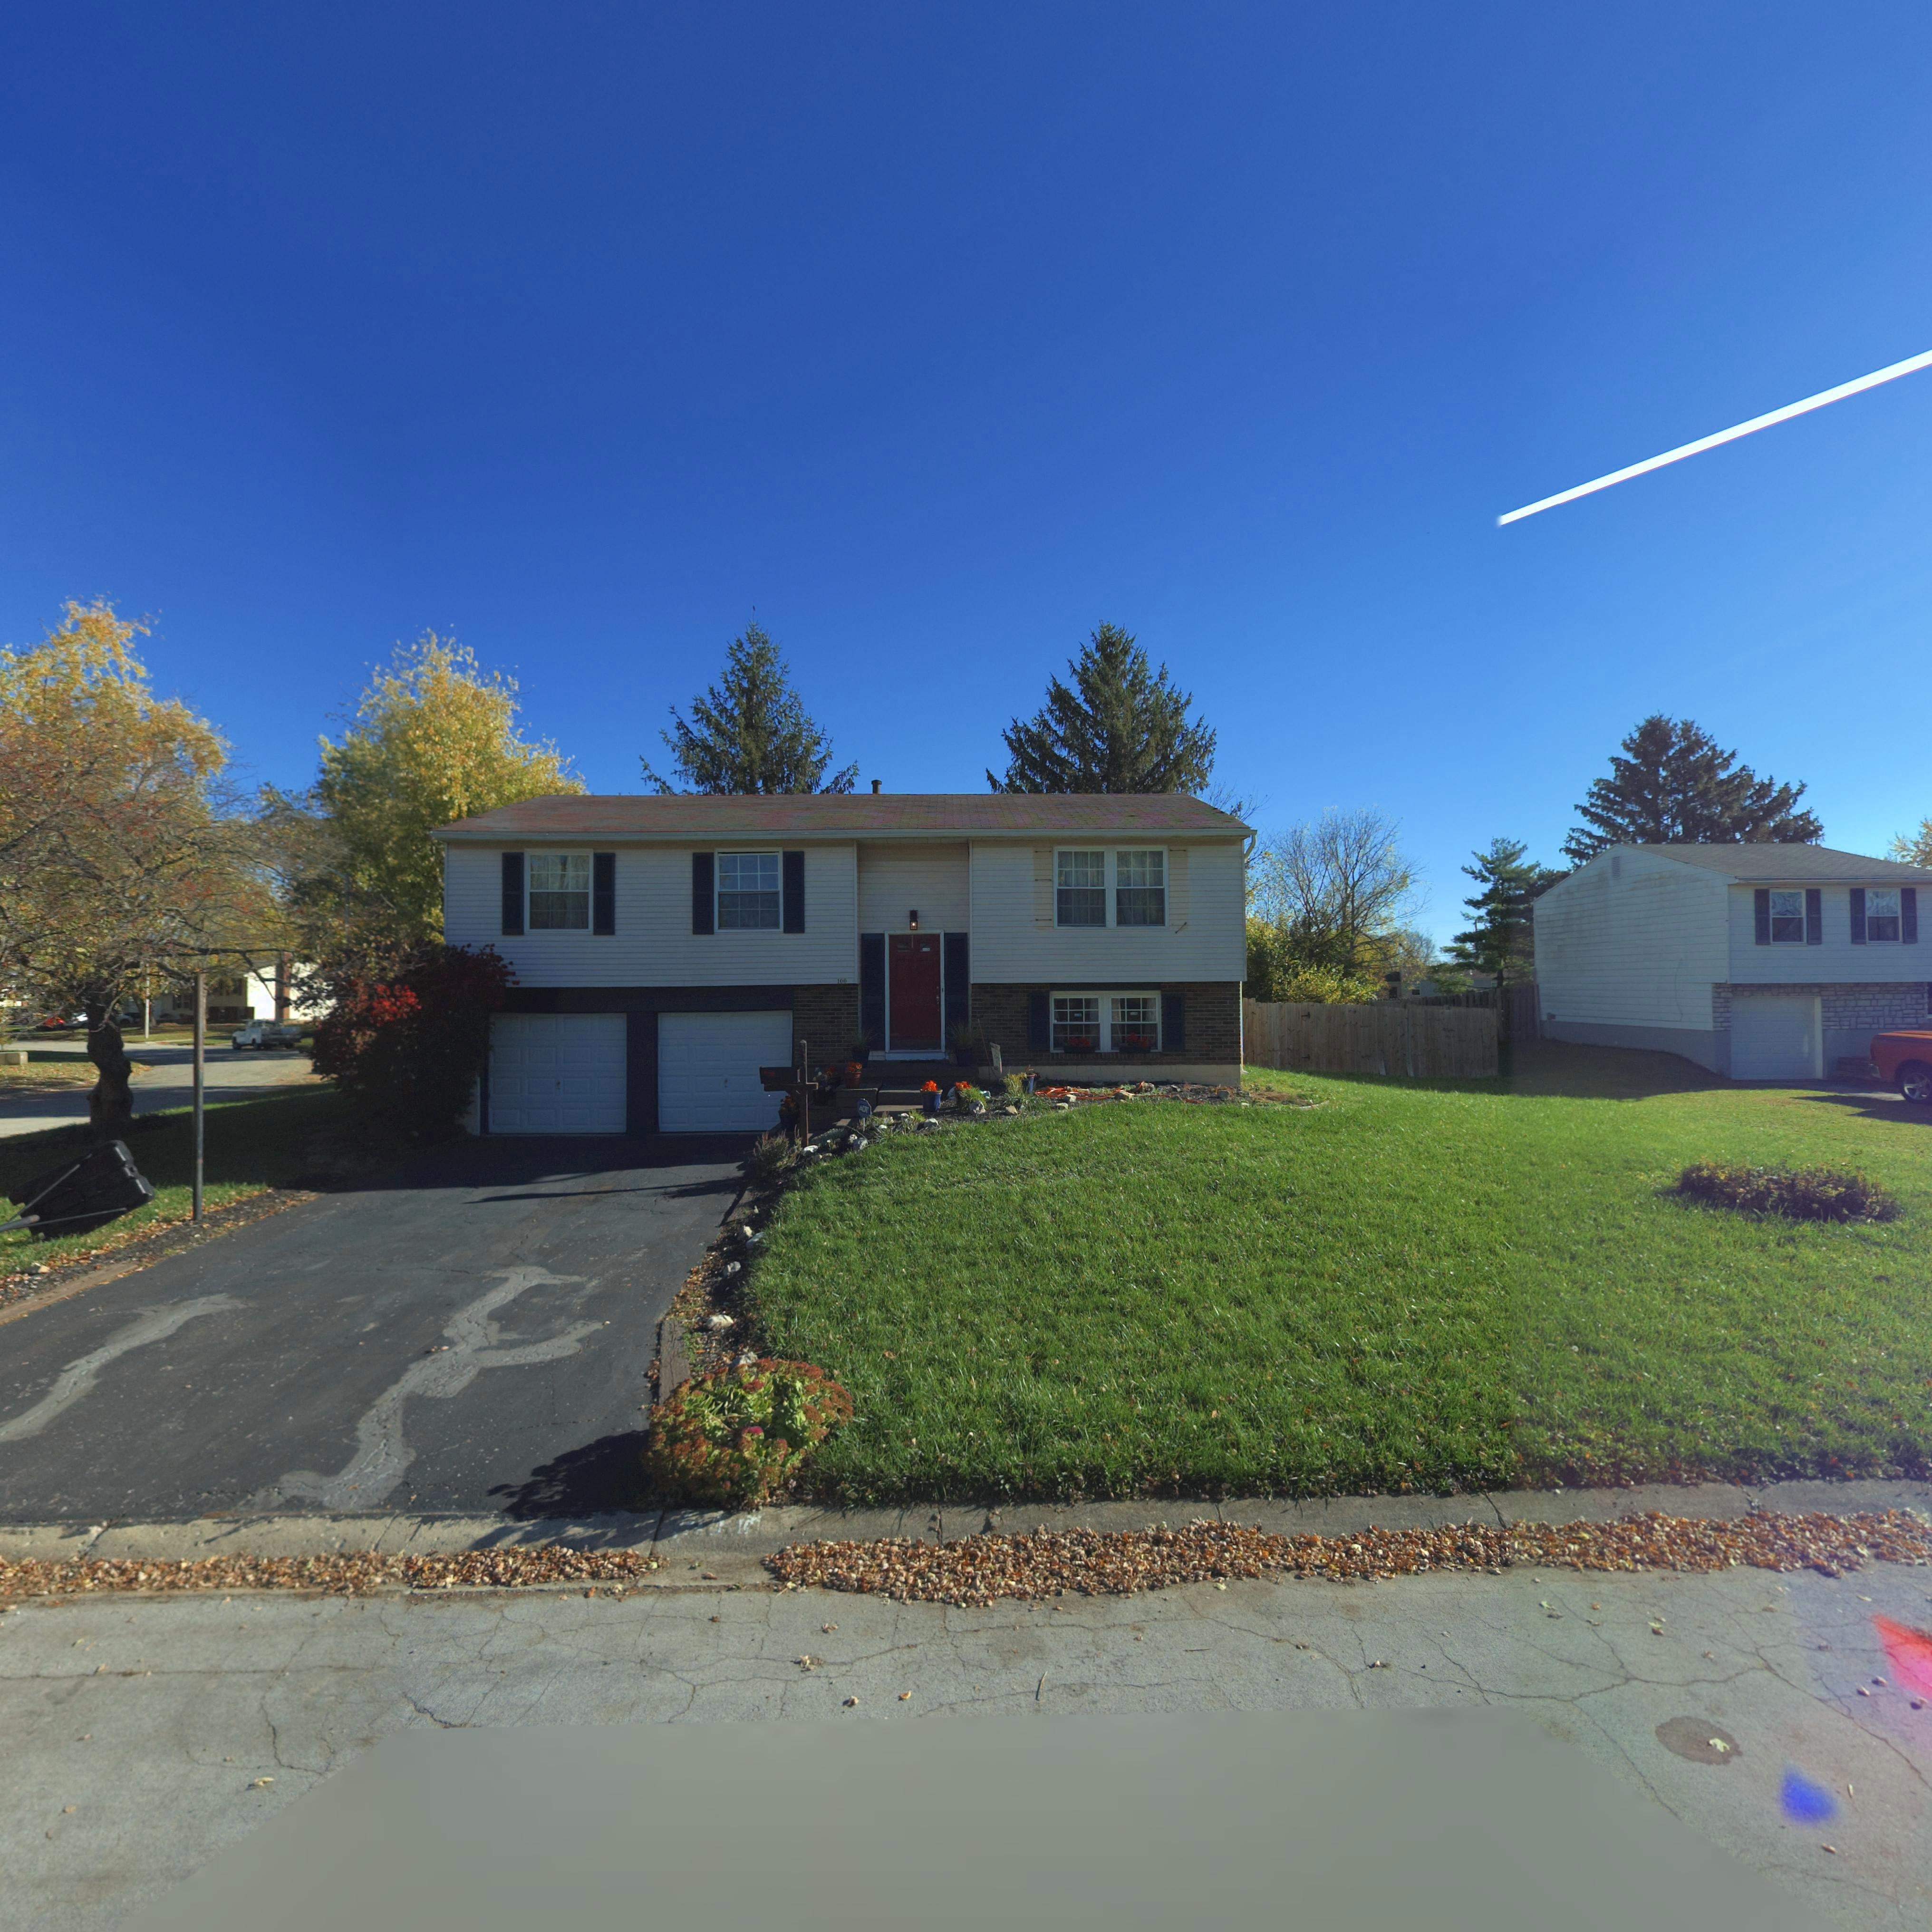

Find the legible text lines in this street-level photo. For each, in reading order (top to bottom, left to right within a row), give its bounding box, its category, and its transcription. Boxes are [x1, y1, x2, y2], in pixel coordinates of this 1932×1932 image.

[837, 978, 847, 985] StreetNumber: 100
[800, 1043, 806, 1069] StreetNumber: 100